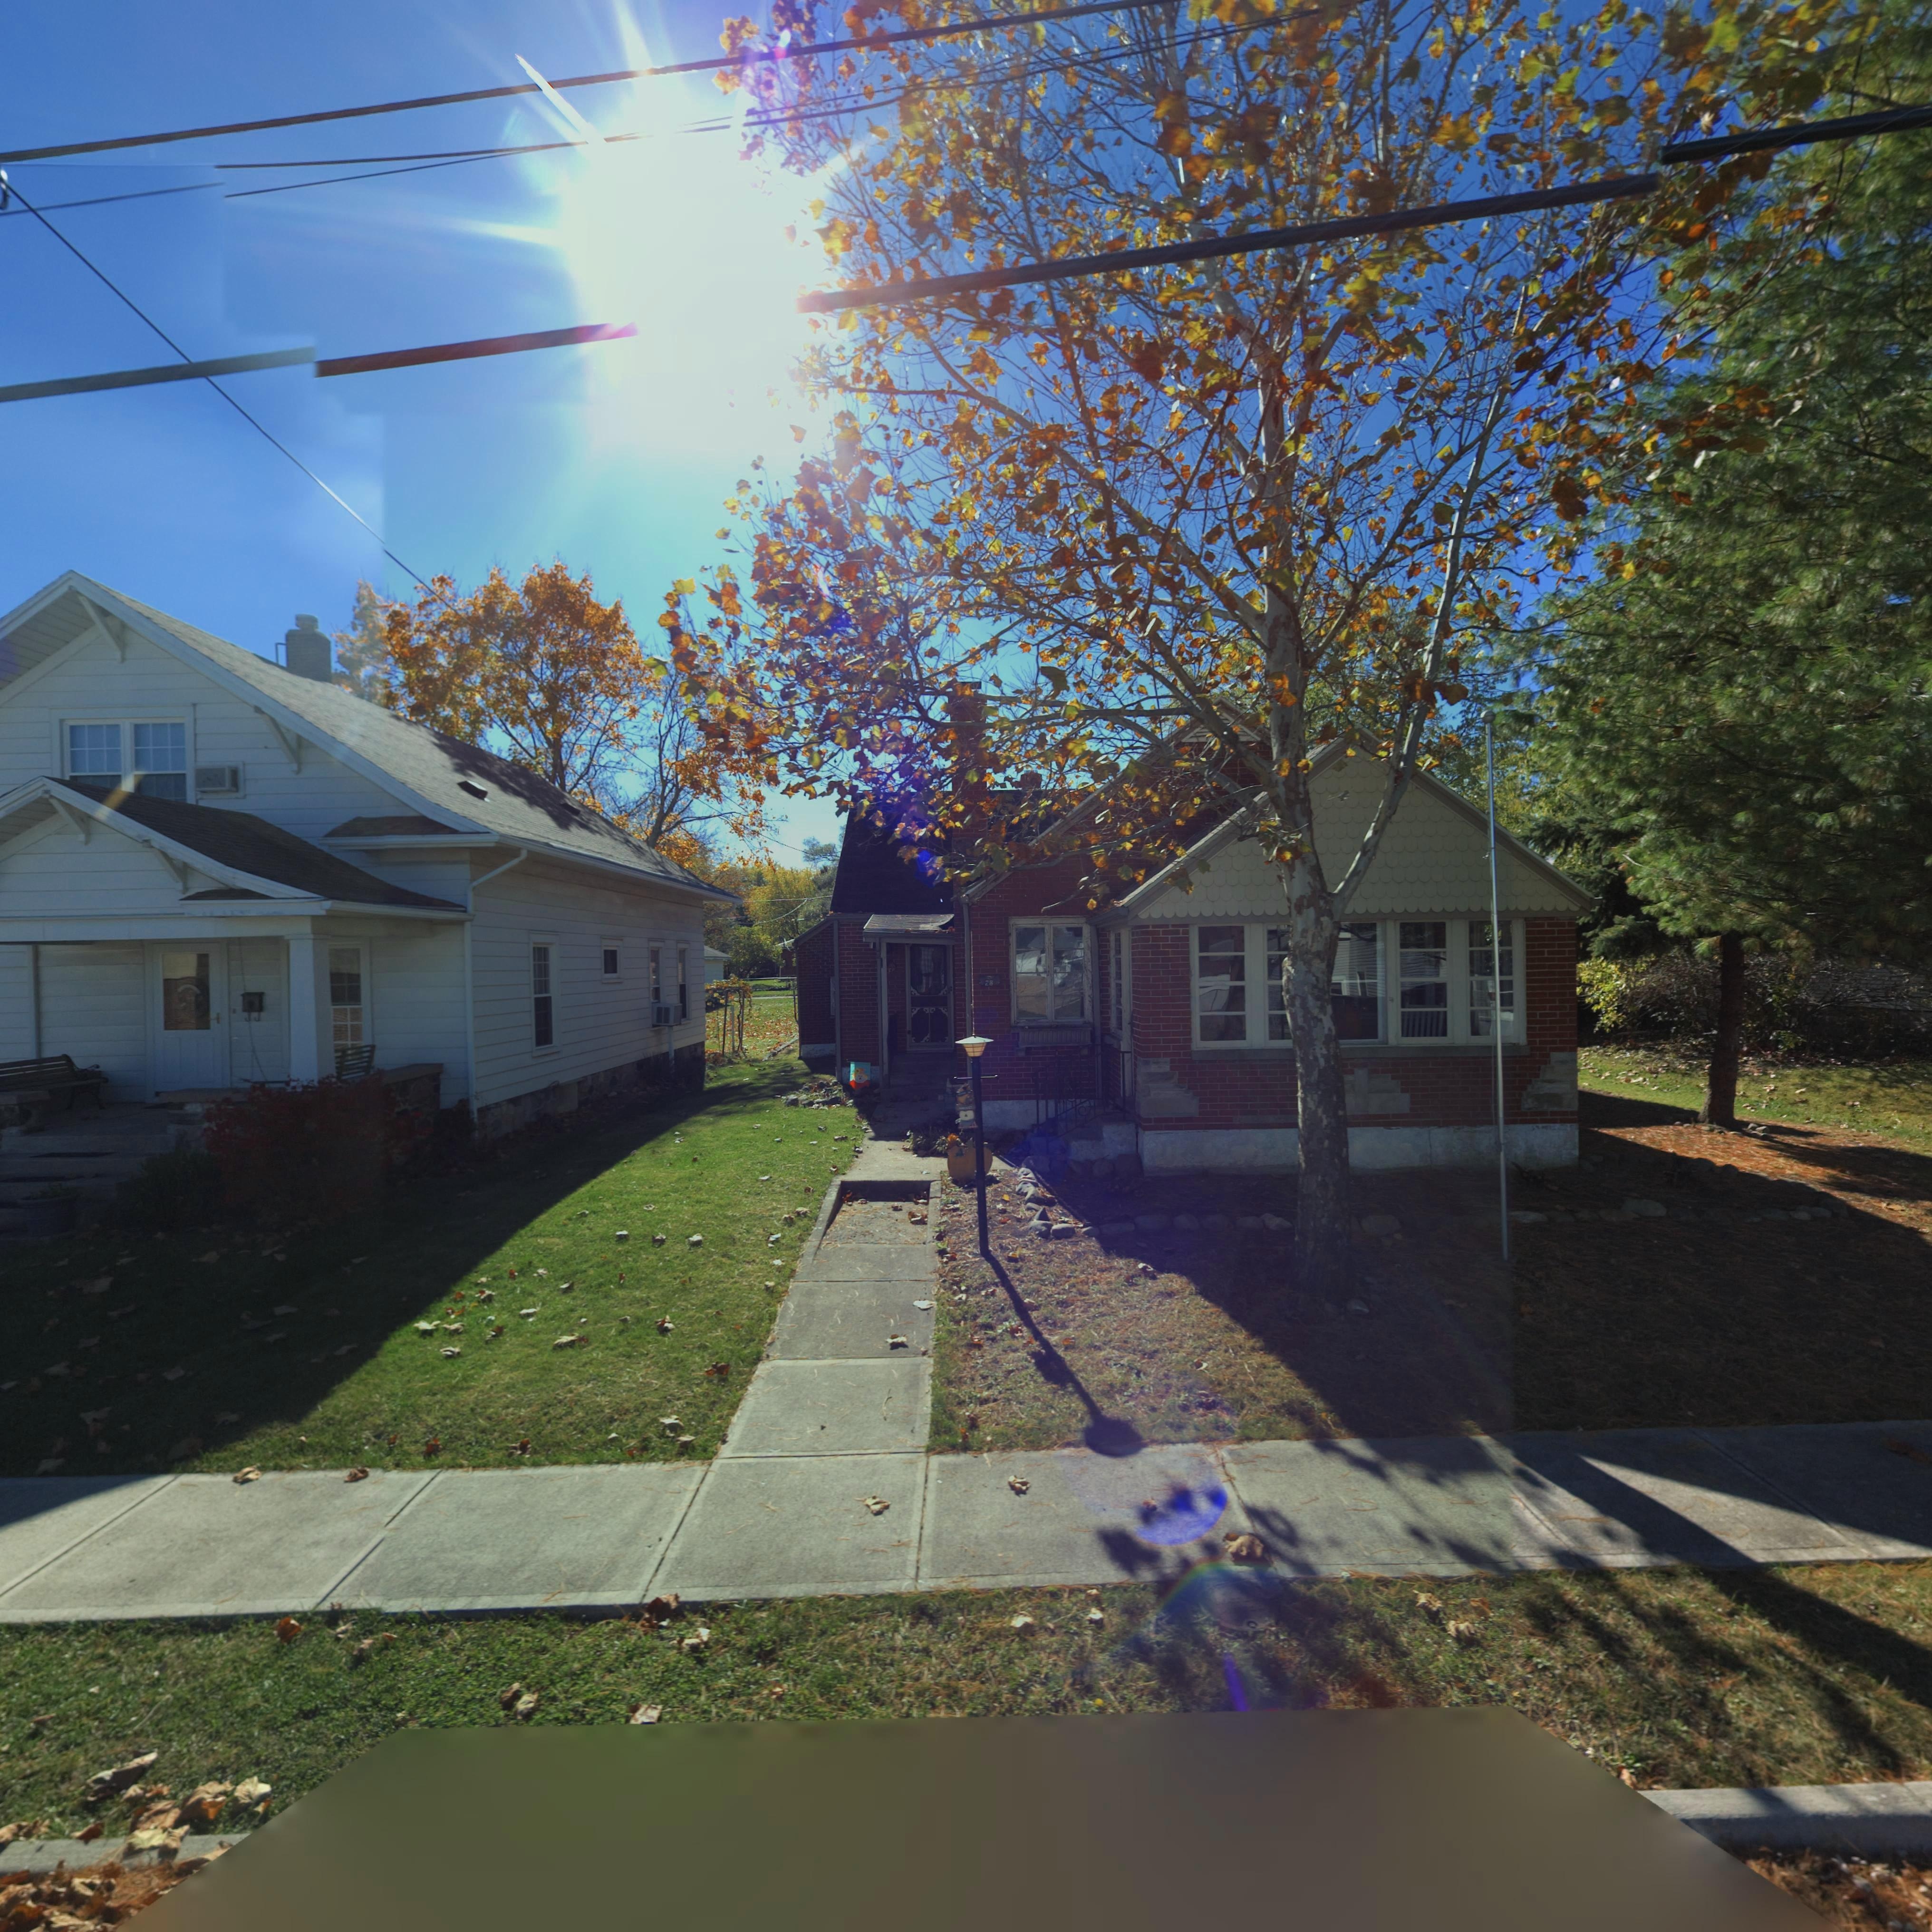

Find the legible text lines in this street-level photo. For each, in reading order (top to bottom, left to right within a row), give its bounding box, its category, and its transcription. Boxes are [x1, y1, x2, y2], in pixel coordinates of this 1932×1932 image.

[985, 980, 993, 986] StreetNumber: 28